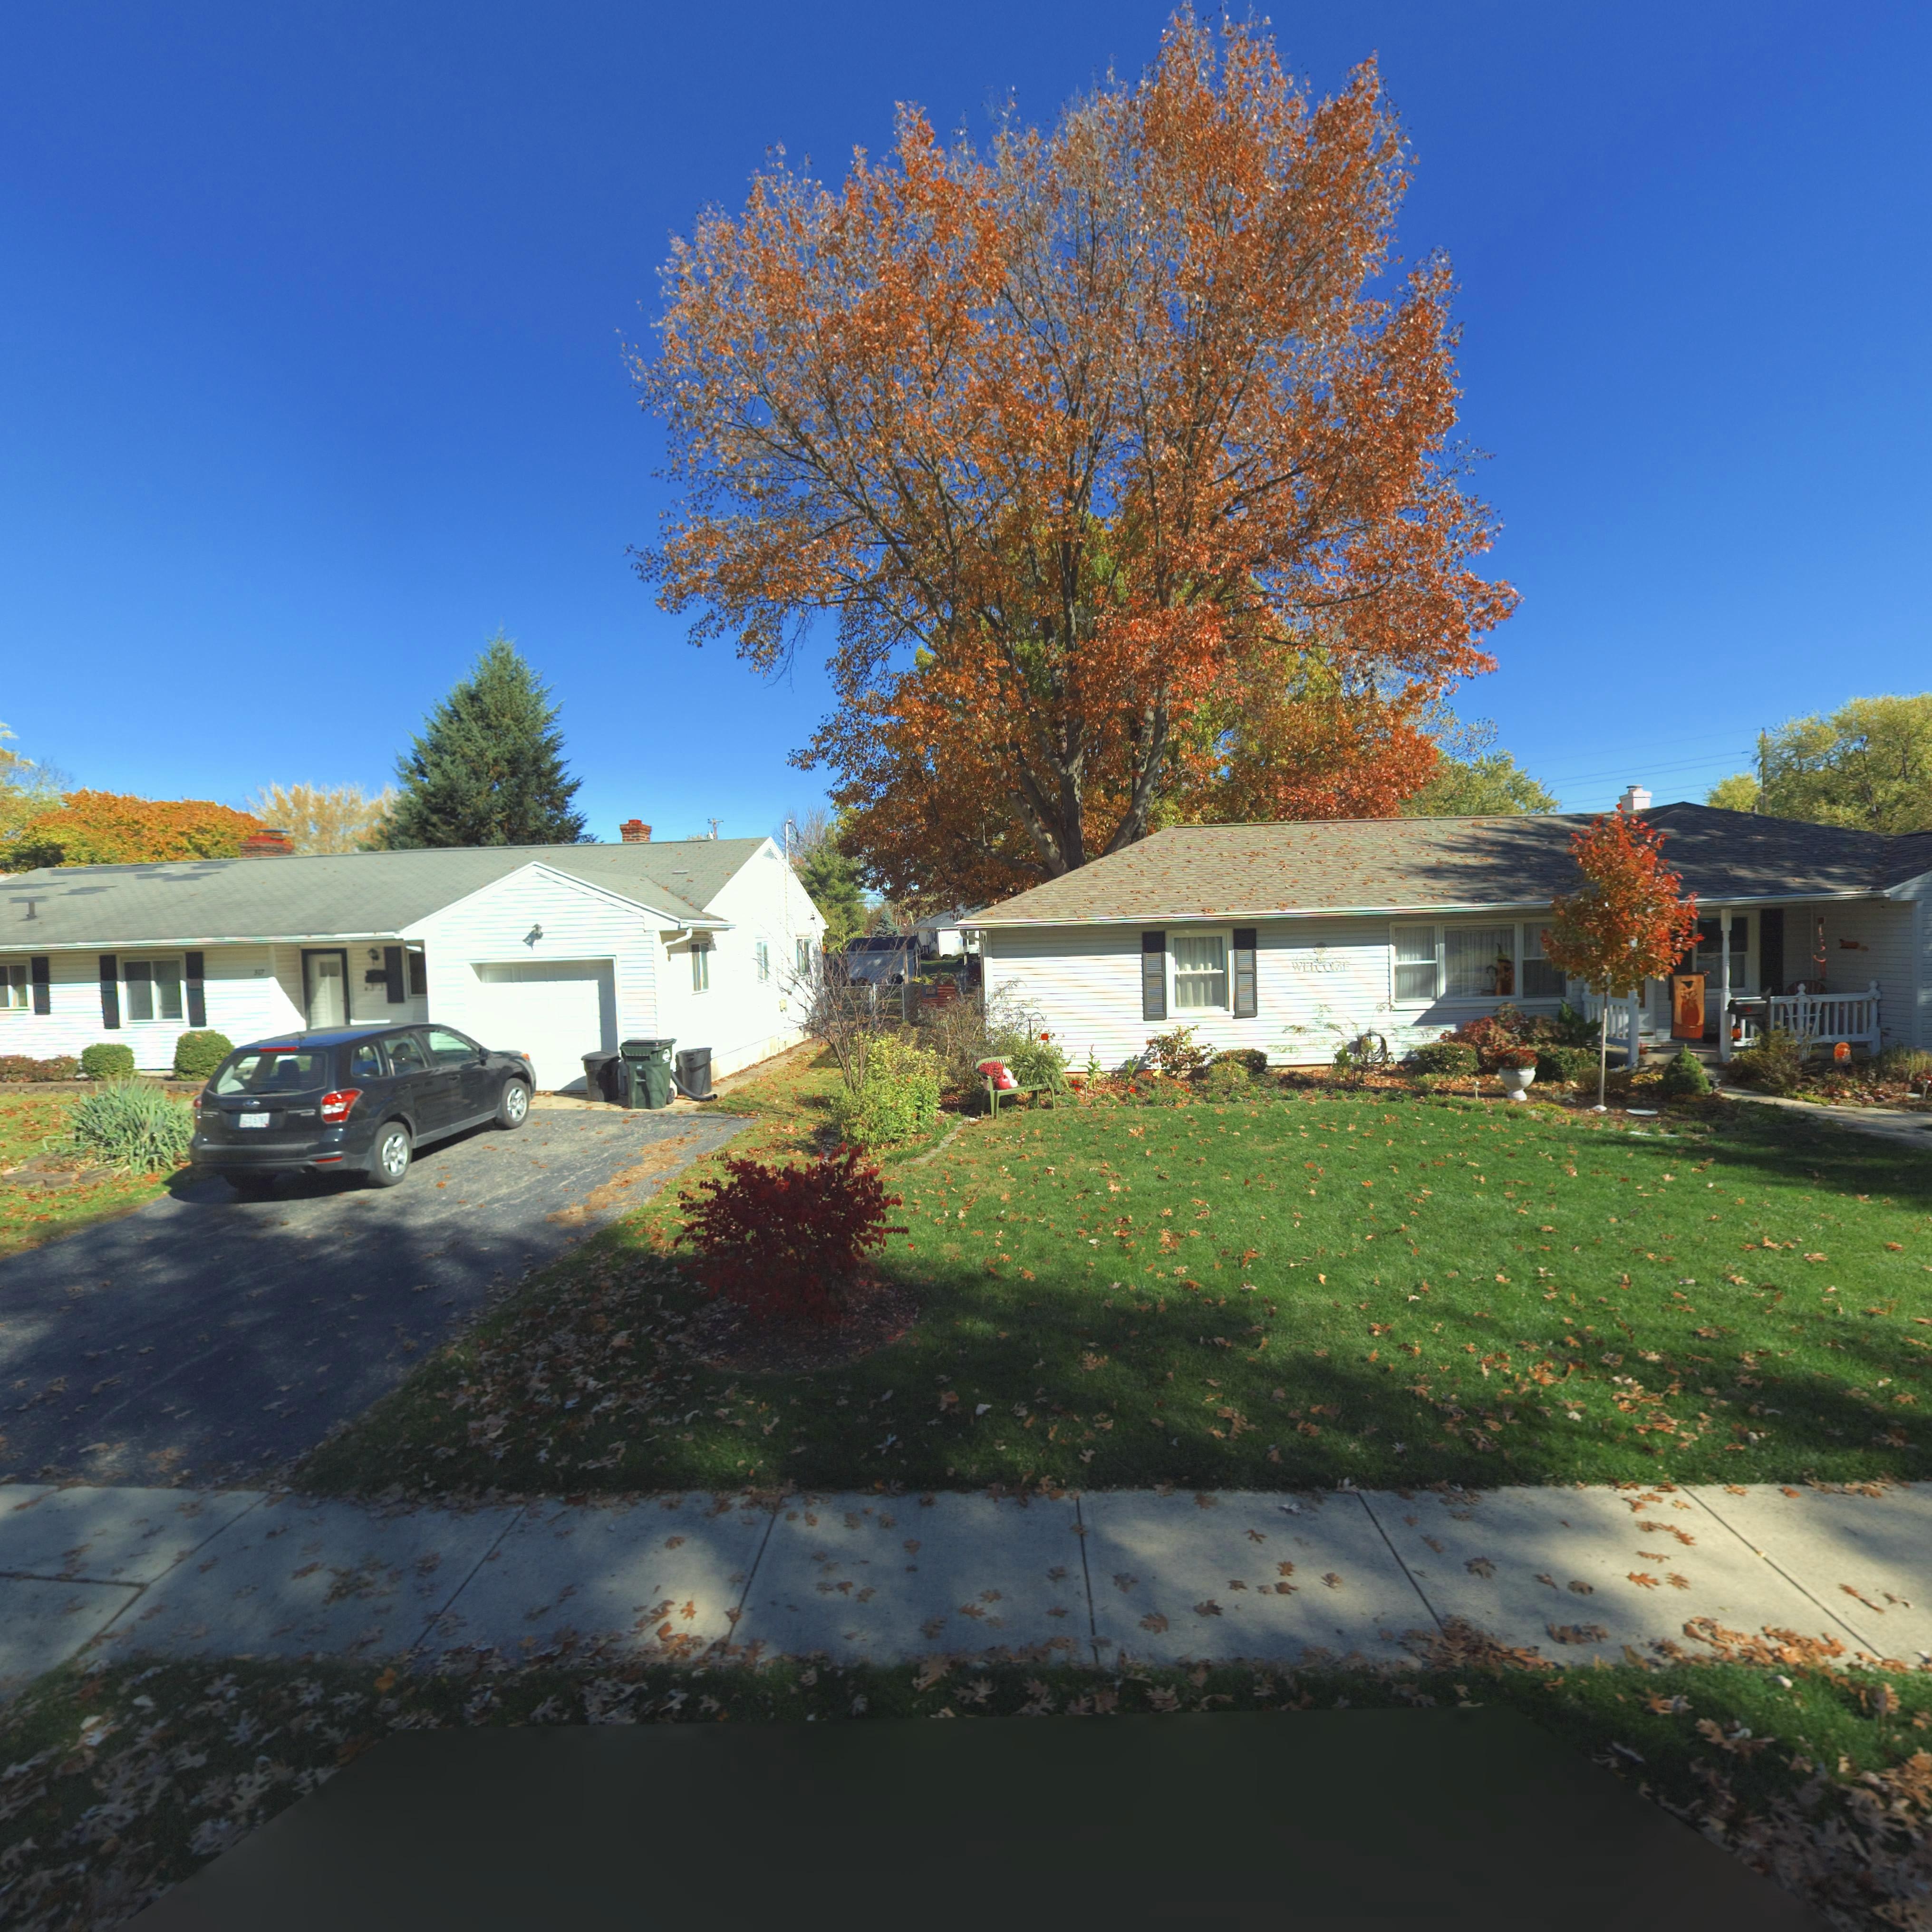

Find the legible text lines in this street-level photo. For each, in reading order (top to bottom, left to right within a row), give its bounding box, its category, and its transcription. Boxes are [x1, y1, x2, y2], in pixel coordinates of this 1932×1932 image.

[253, 969, 265, 976] StreetNumber: 317